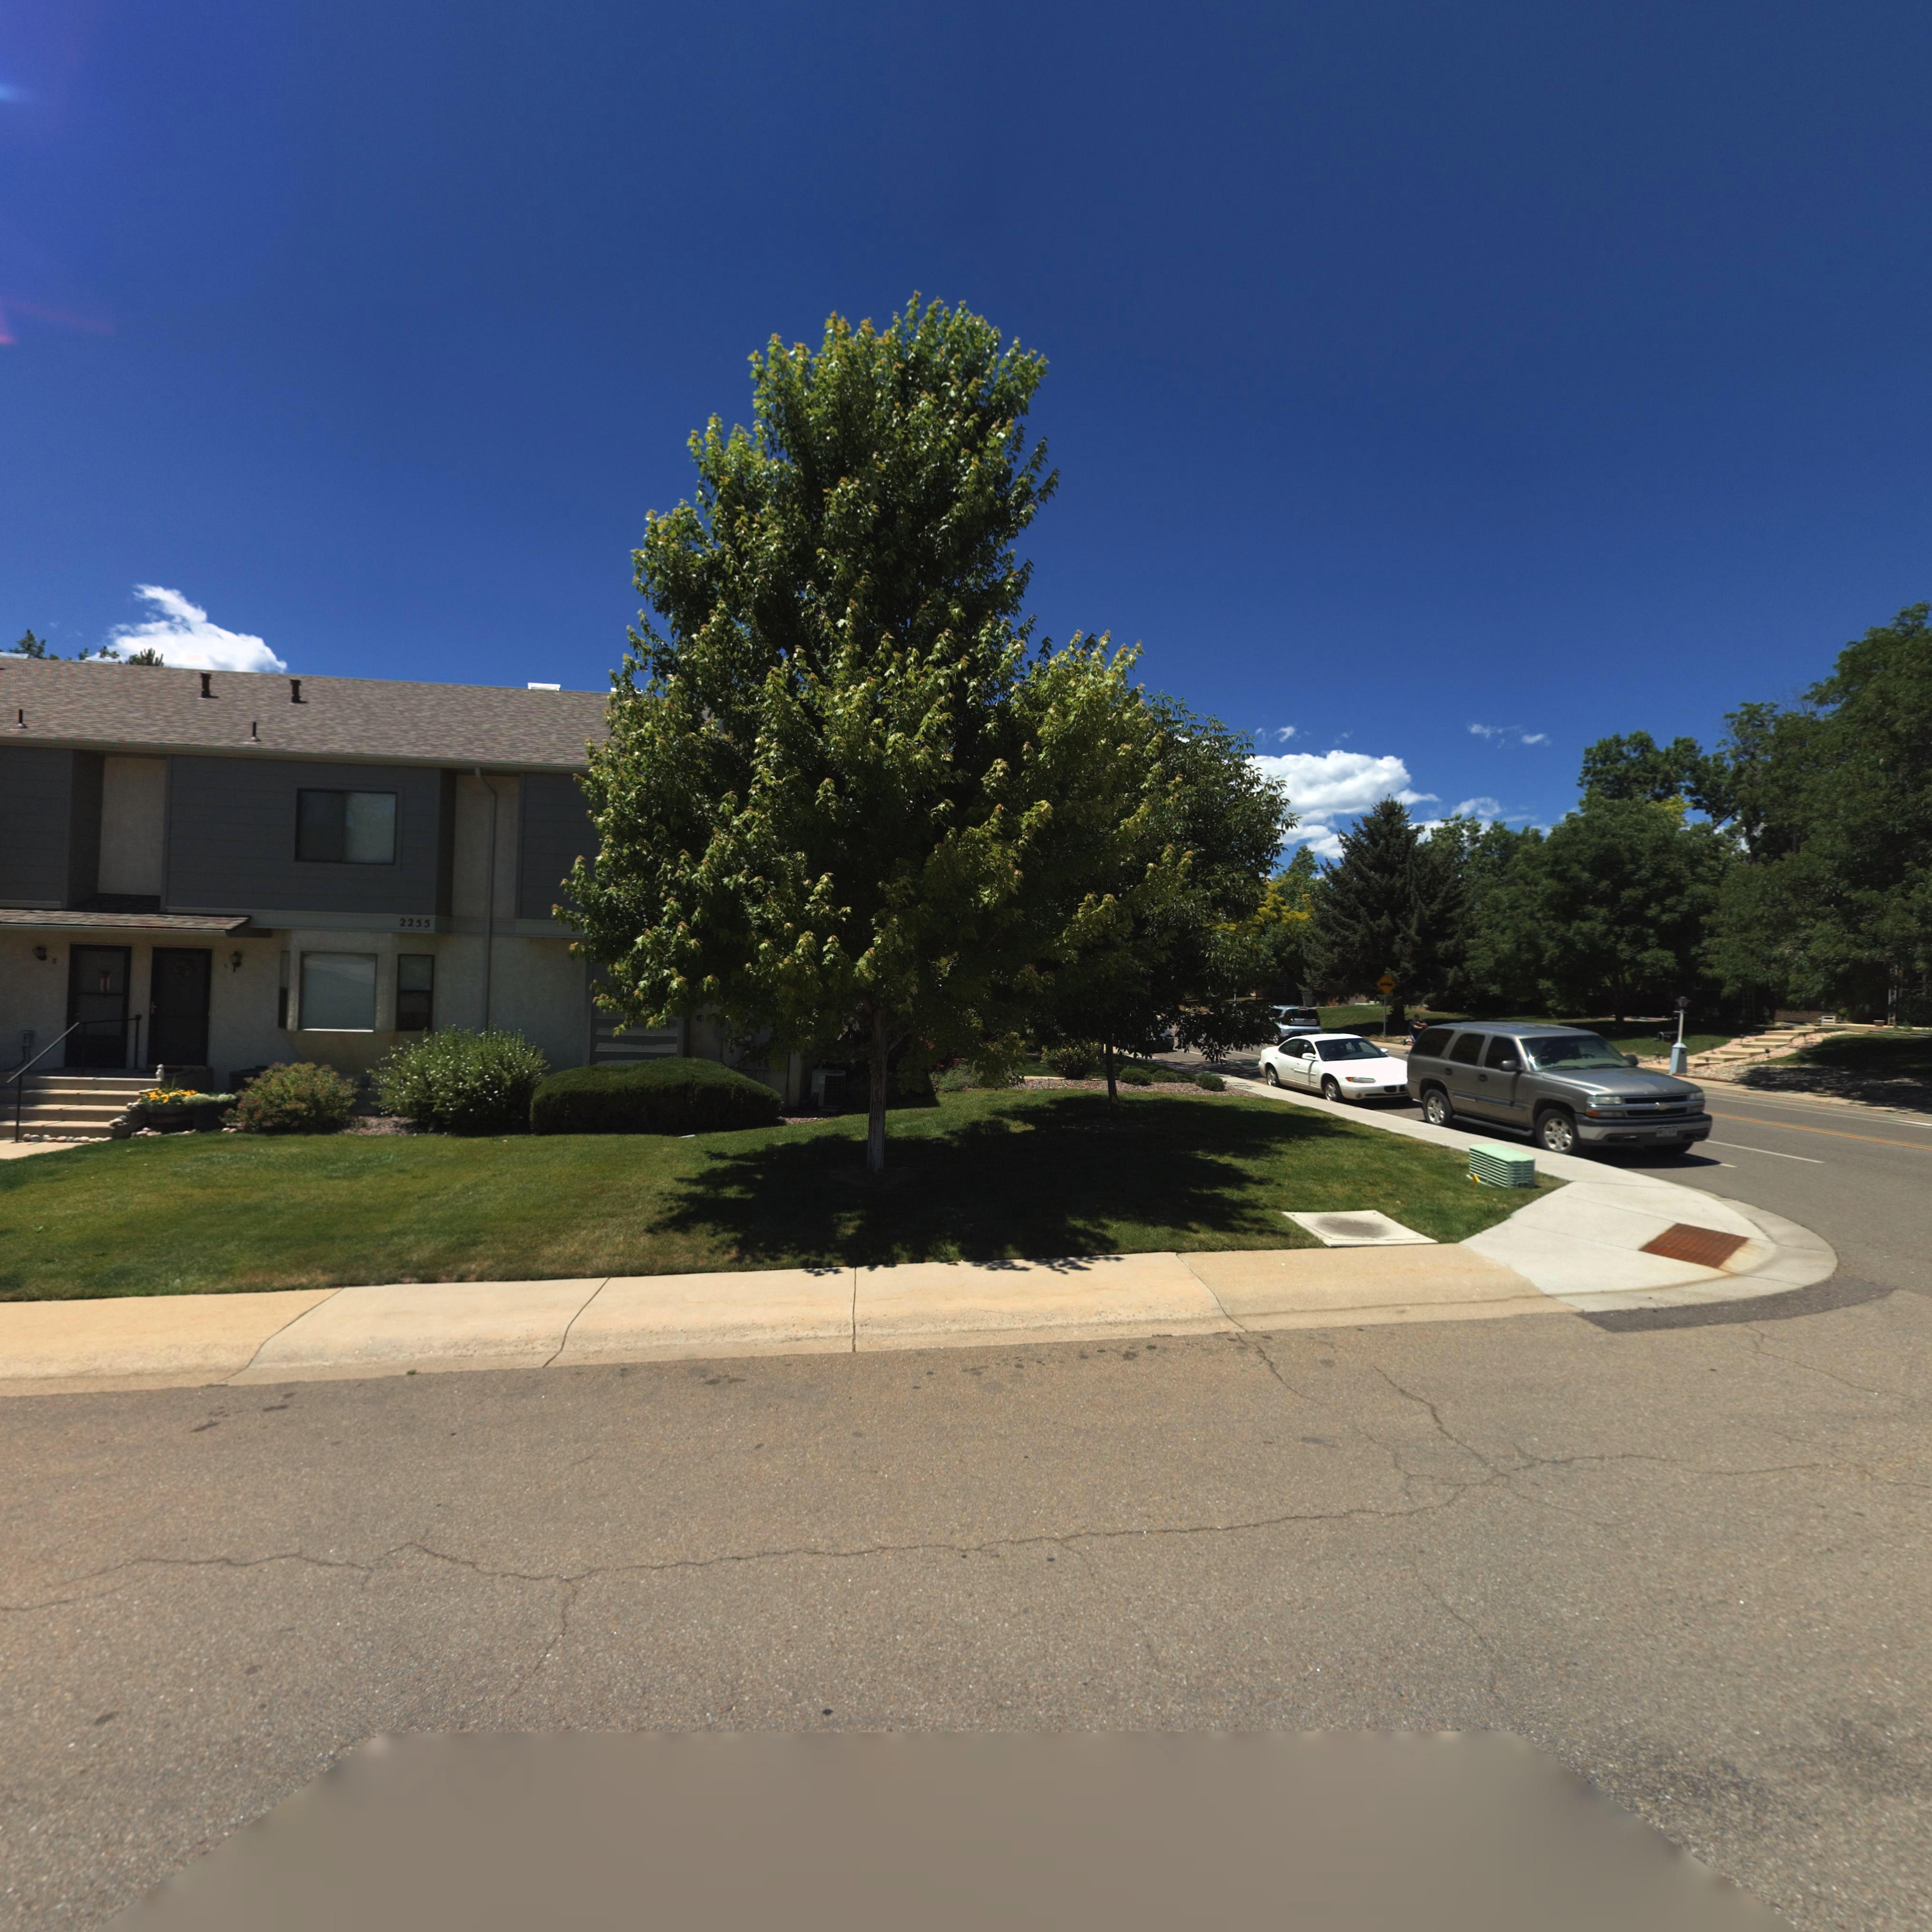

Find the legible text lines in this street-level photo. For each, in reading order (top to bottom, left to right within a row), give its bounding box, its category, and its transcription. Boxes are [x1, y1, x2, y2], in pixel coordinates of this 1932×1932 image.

[399, 918, 430, 928] StreetNumber: 2255